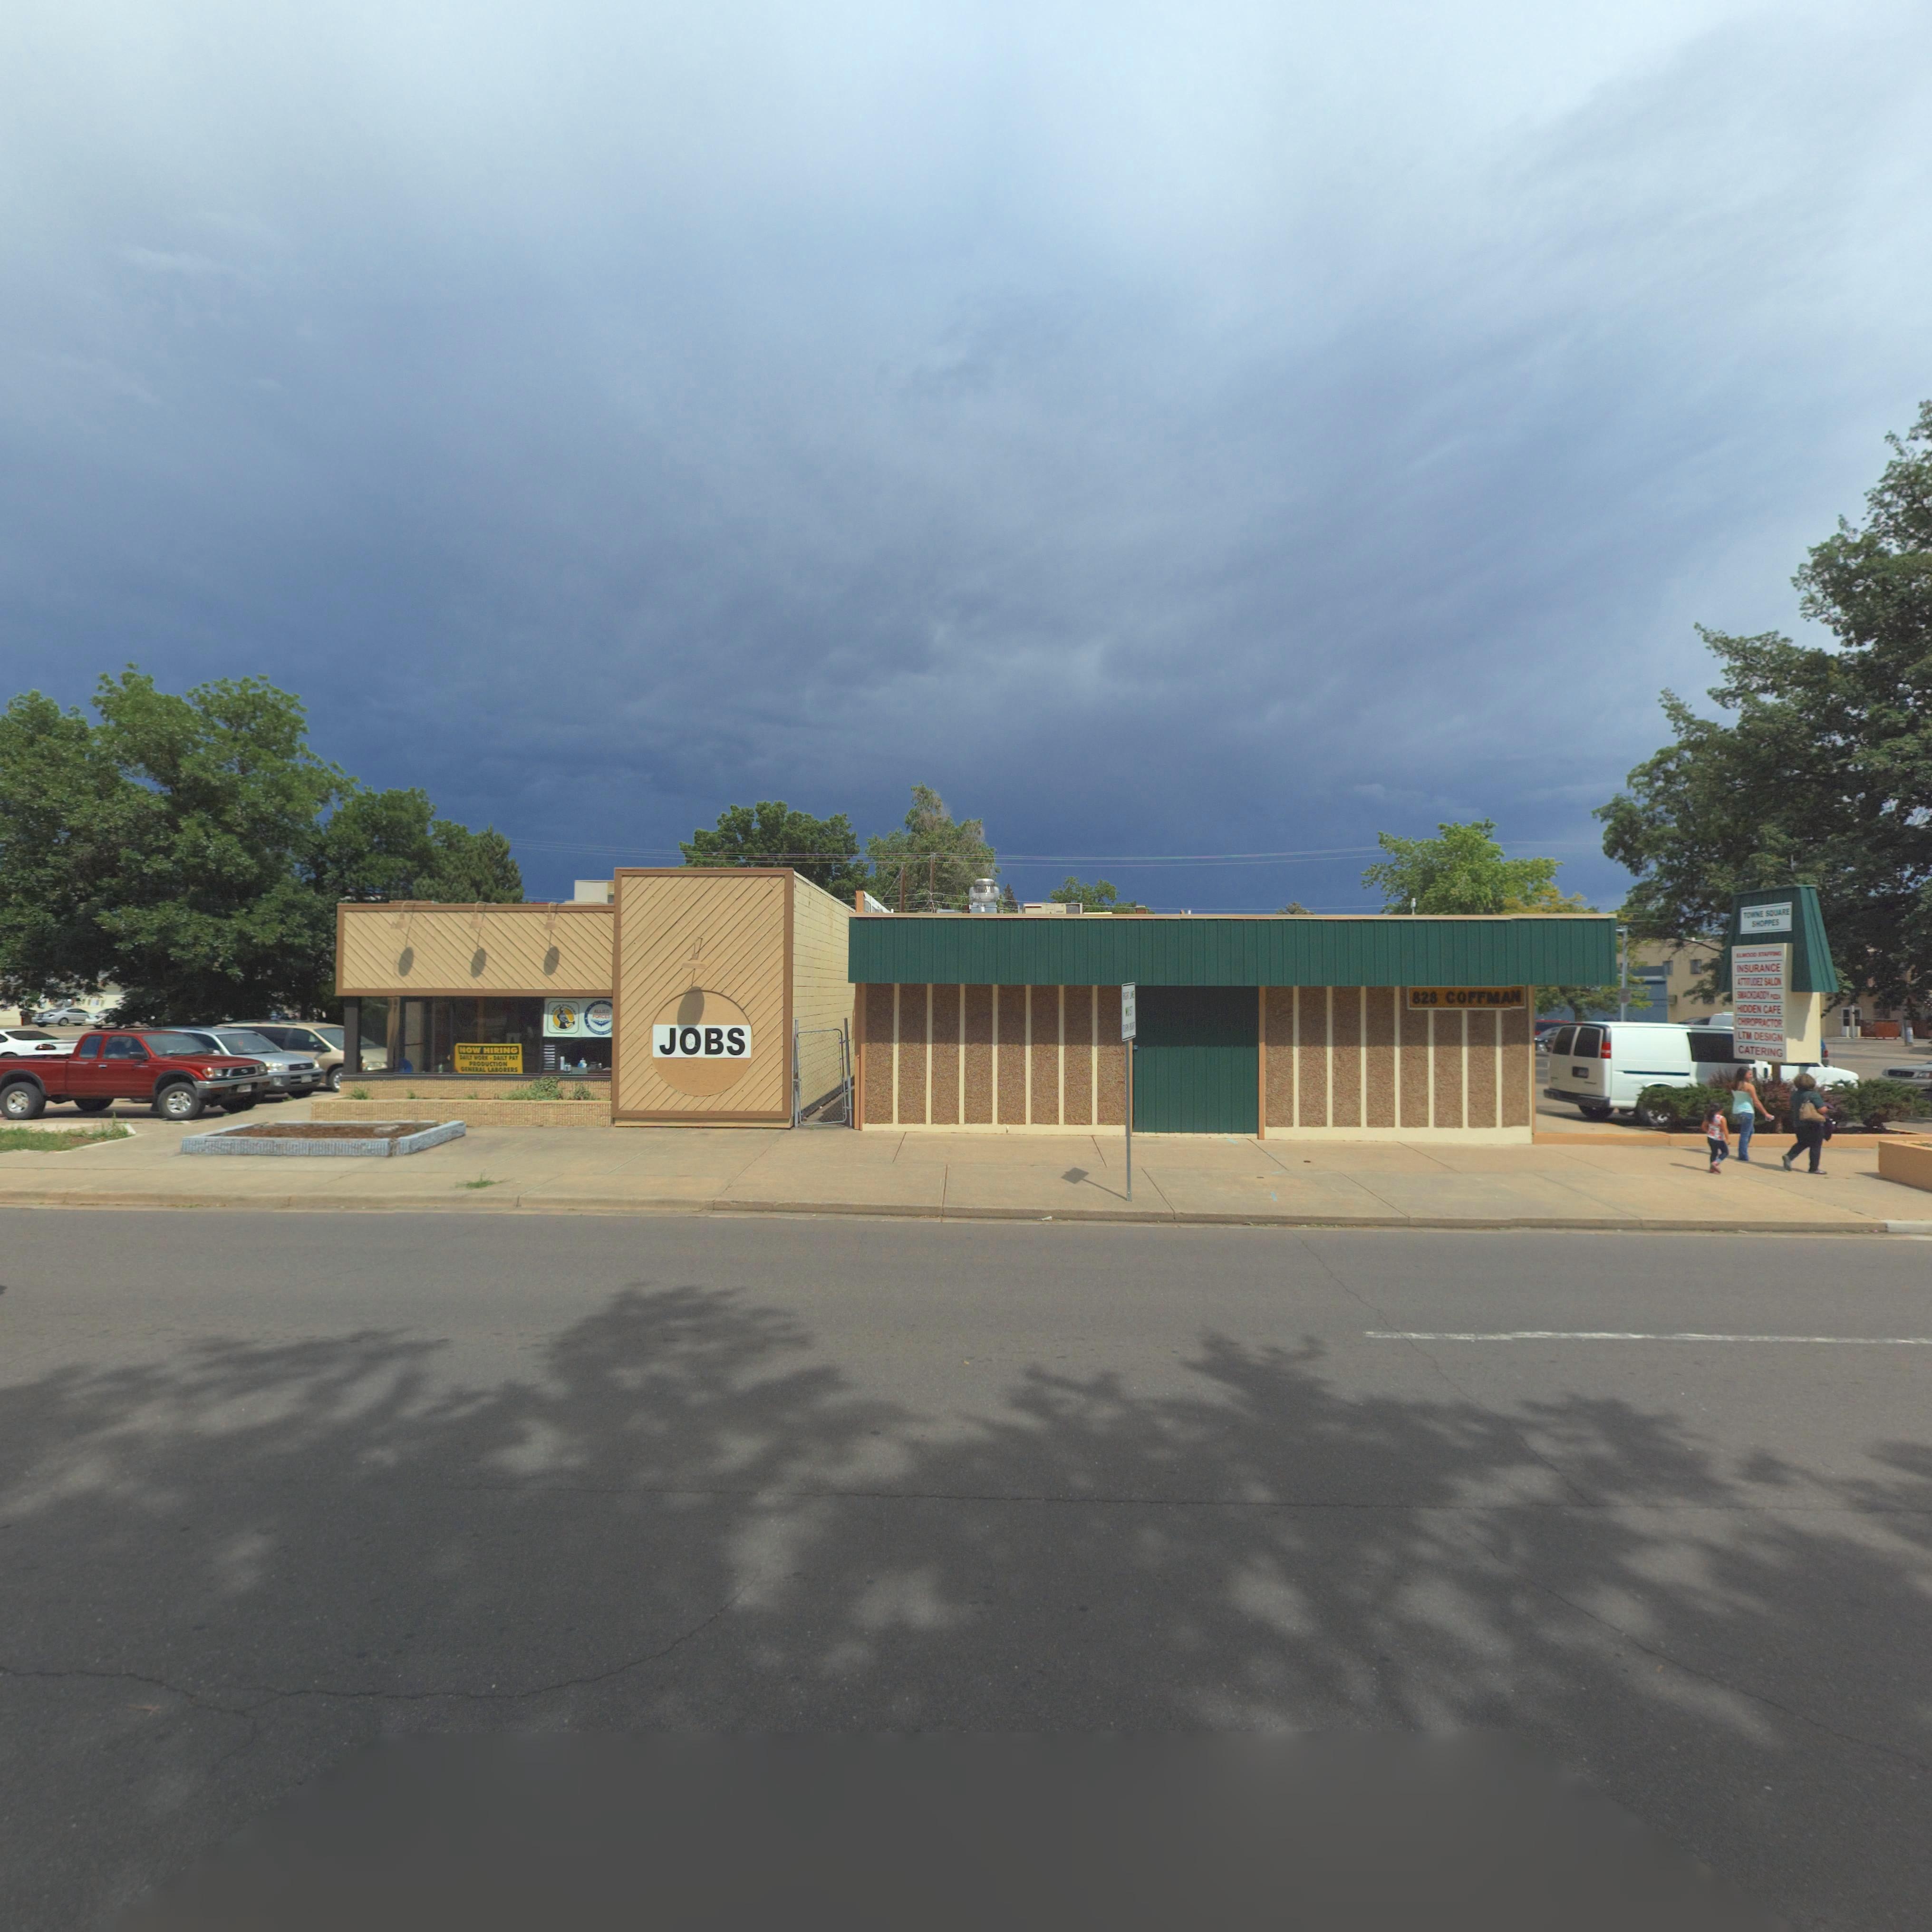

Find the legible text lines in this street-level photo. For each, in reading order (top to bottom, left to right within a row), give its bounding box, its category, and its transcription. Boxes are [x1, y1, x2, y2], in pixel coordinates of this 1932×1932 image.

[1736, 951, 1782, 957] BusinessName: **WOOD ST*FFING
[1737, 977, 1781, 985] BusinessName: ATTITUDEZ SALON
[1412, 991, 1437, 1004] StreetNumber: 828
[1446, 990, 1521, 1004] StreetName: COFFMAN
[1736, 990, 1770, 999] BusinessName: SMACKDADDY
[1737, 1004, 1782, 1014] BusinessName: HIDDEN CAFE
[1737, 1031, 1783, 1043] BusinessName: LTM DESIGN